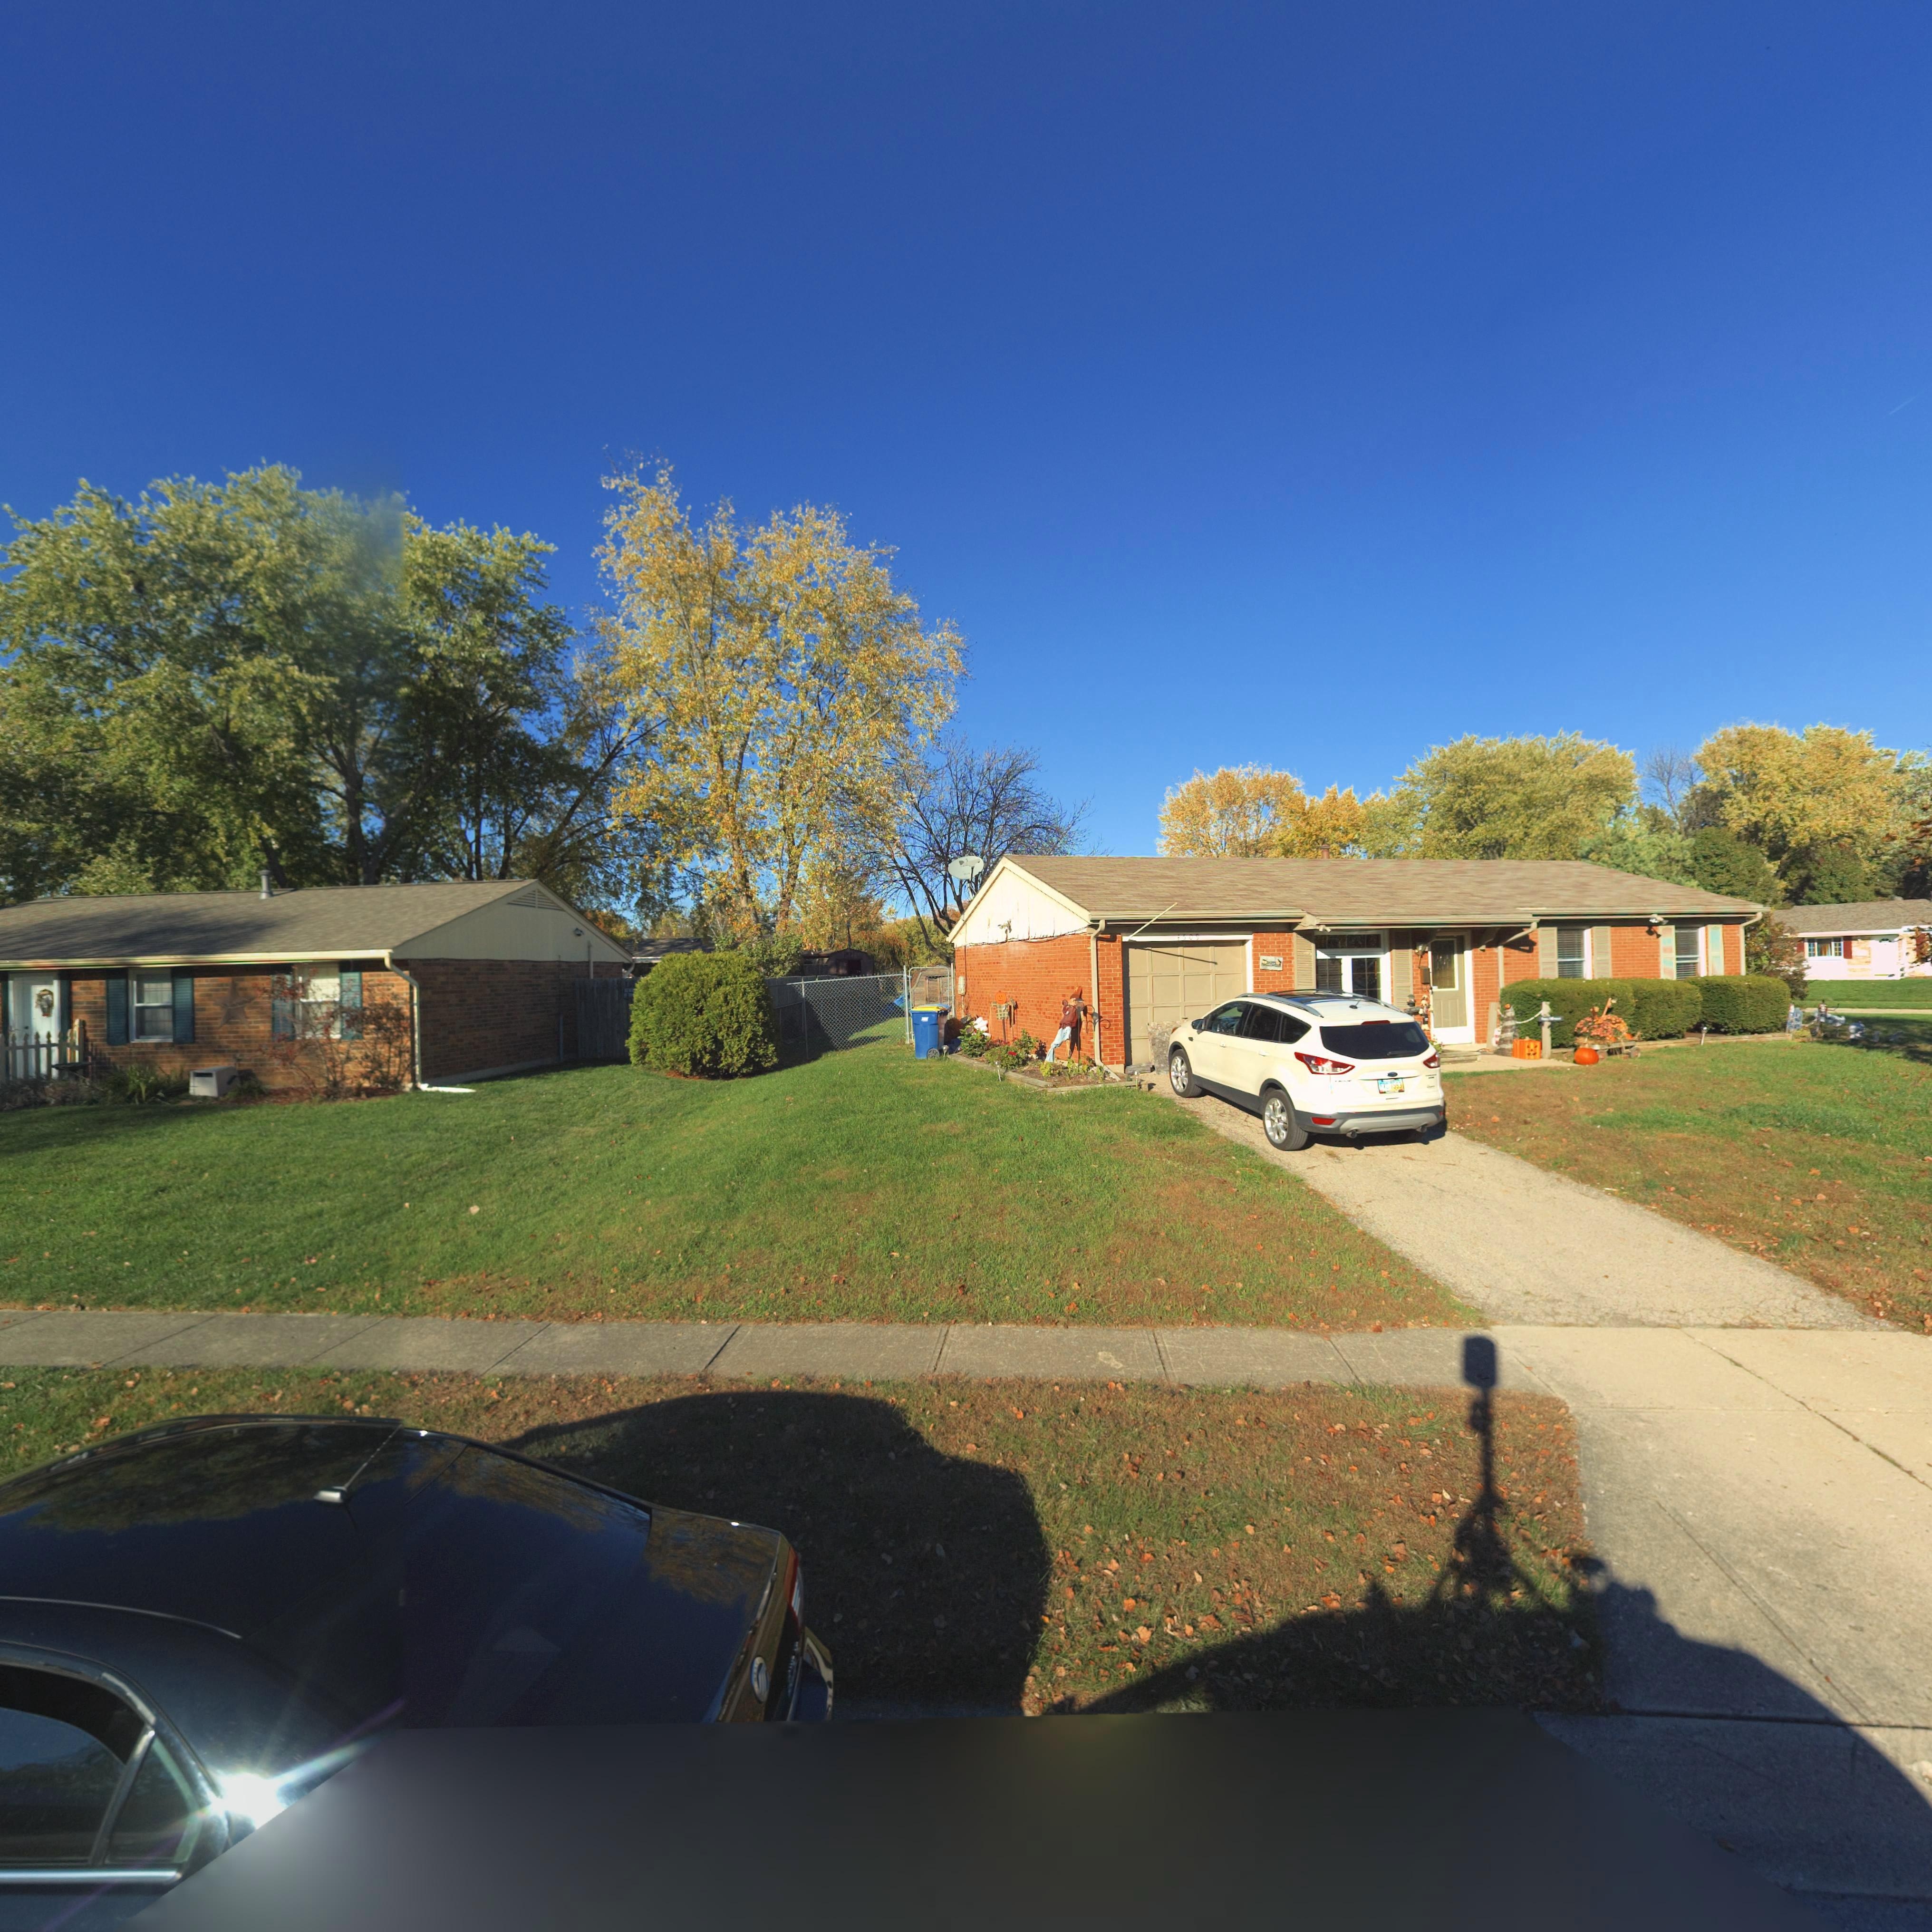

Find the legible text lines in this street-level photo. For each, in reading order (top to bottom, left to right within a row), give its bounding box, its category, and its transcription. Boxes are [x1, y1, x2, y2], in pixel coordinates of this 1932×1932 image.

[1176, 933, 1200, 941] StreetNumber: 4509